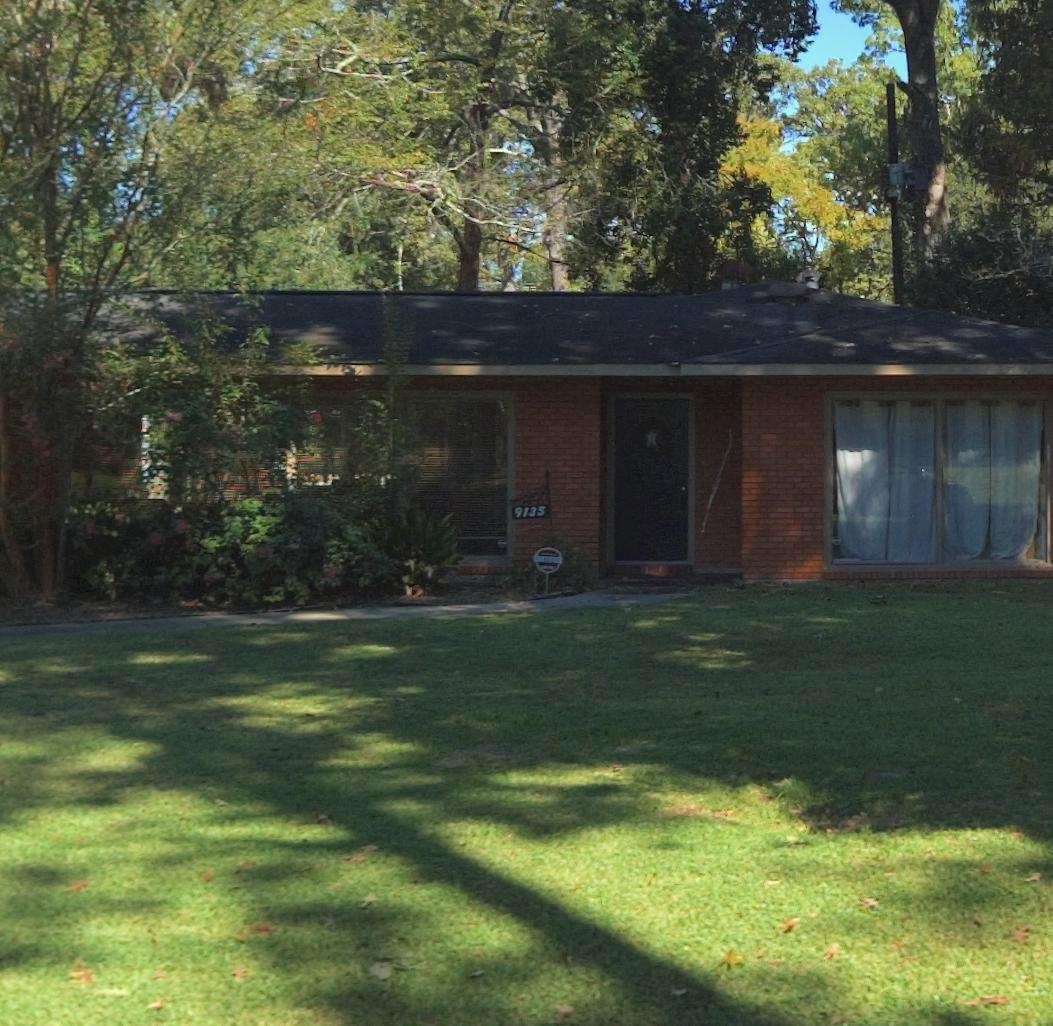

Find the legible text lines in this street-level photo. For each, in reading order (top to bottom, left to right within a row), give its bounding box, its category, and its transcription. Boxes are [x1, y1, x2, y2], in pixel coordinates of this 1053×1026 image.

[513, 504, 547, 519] StreetNumber: 9135